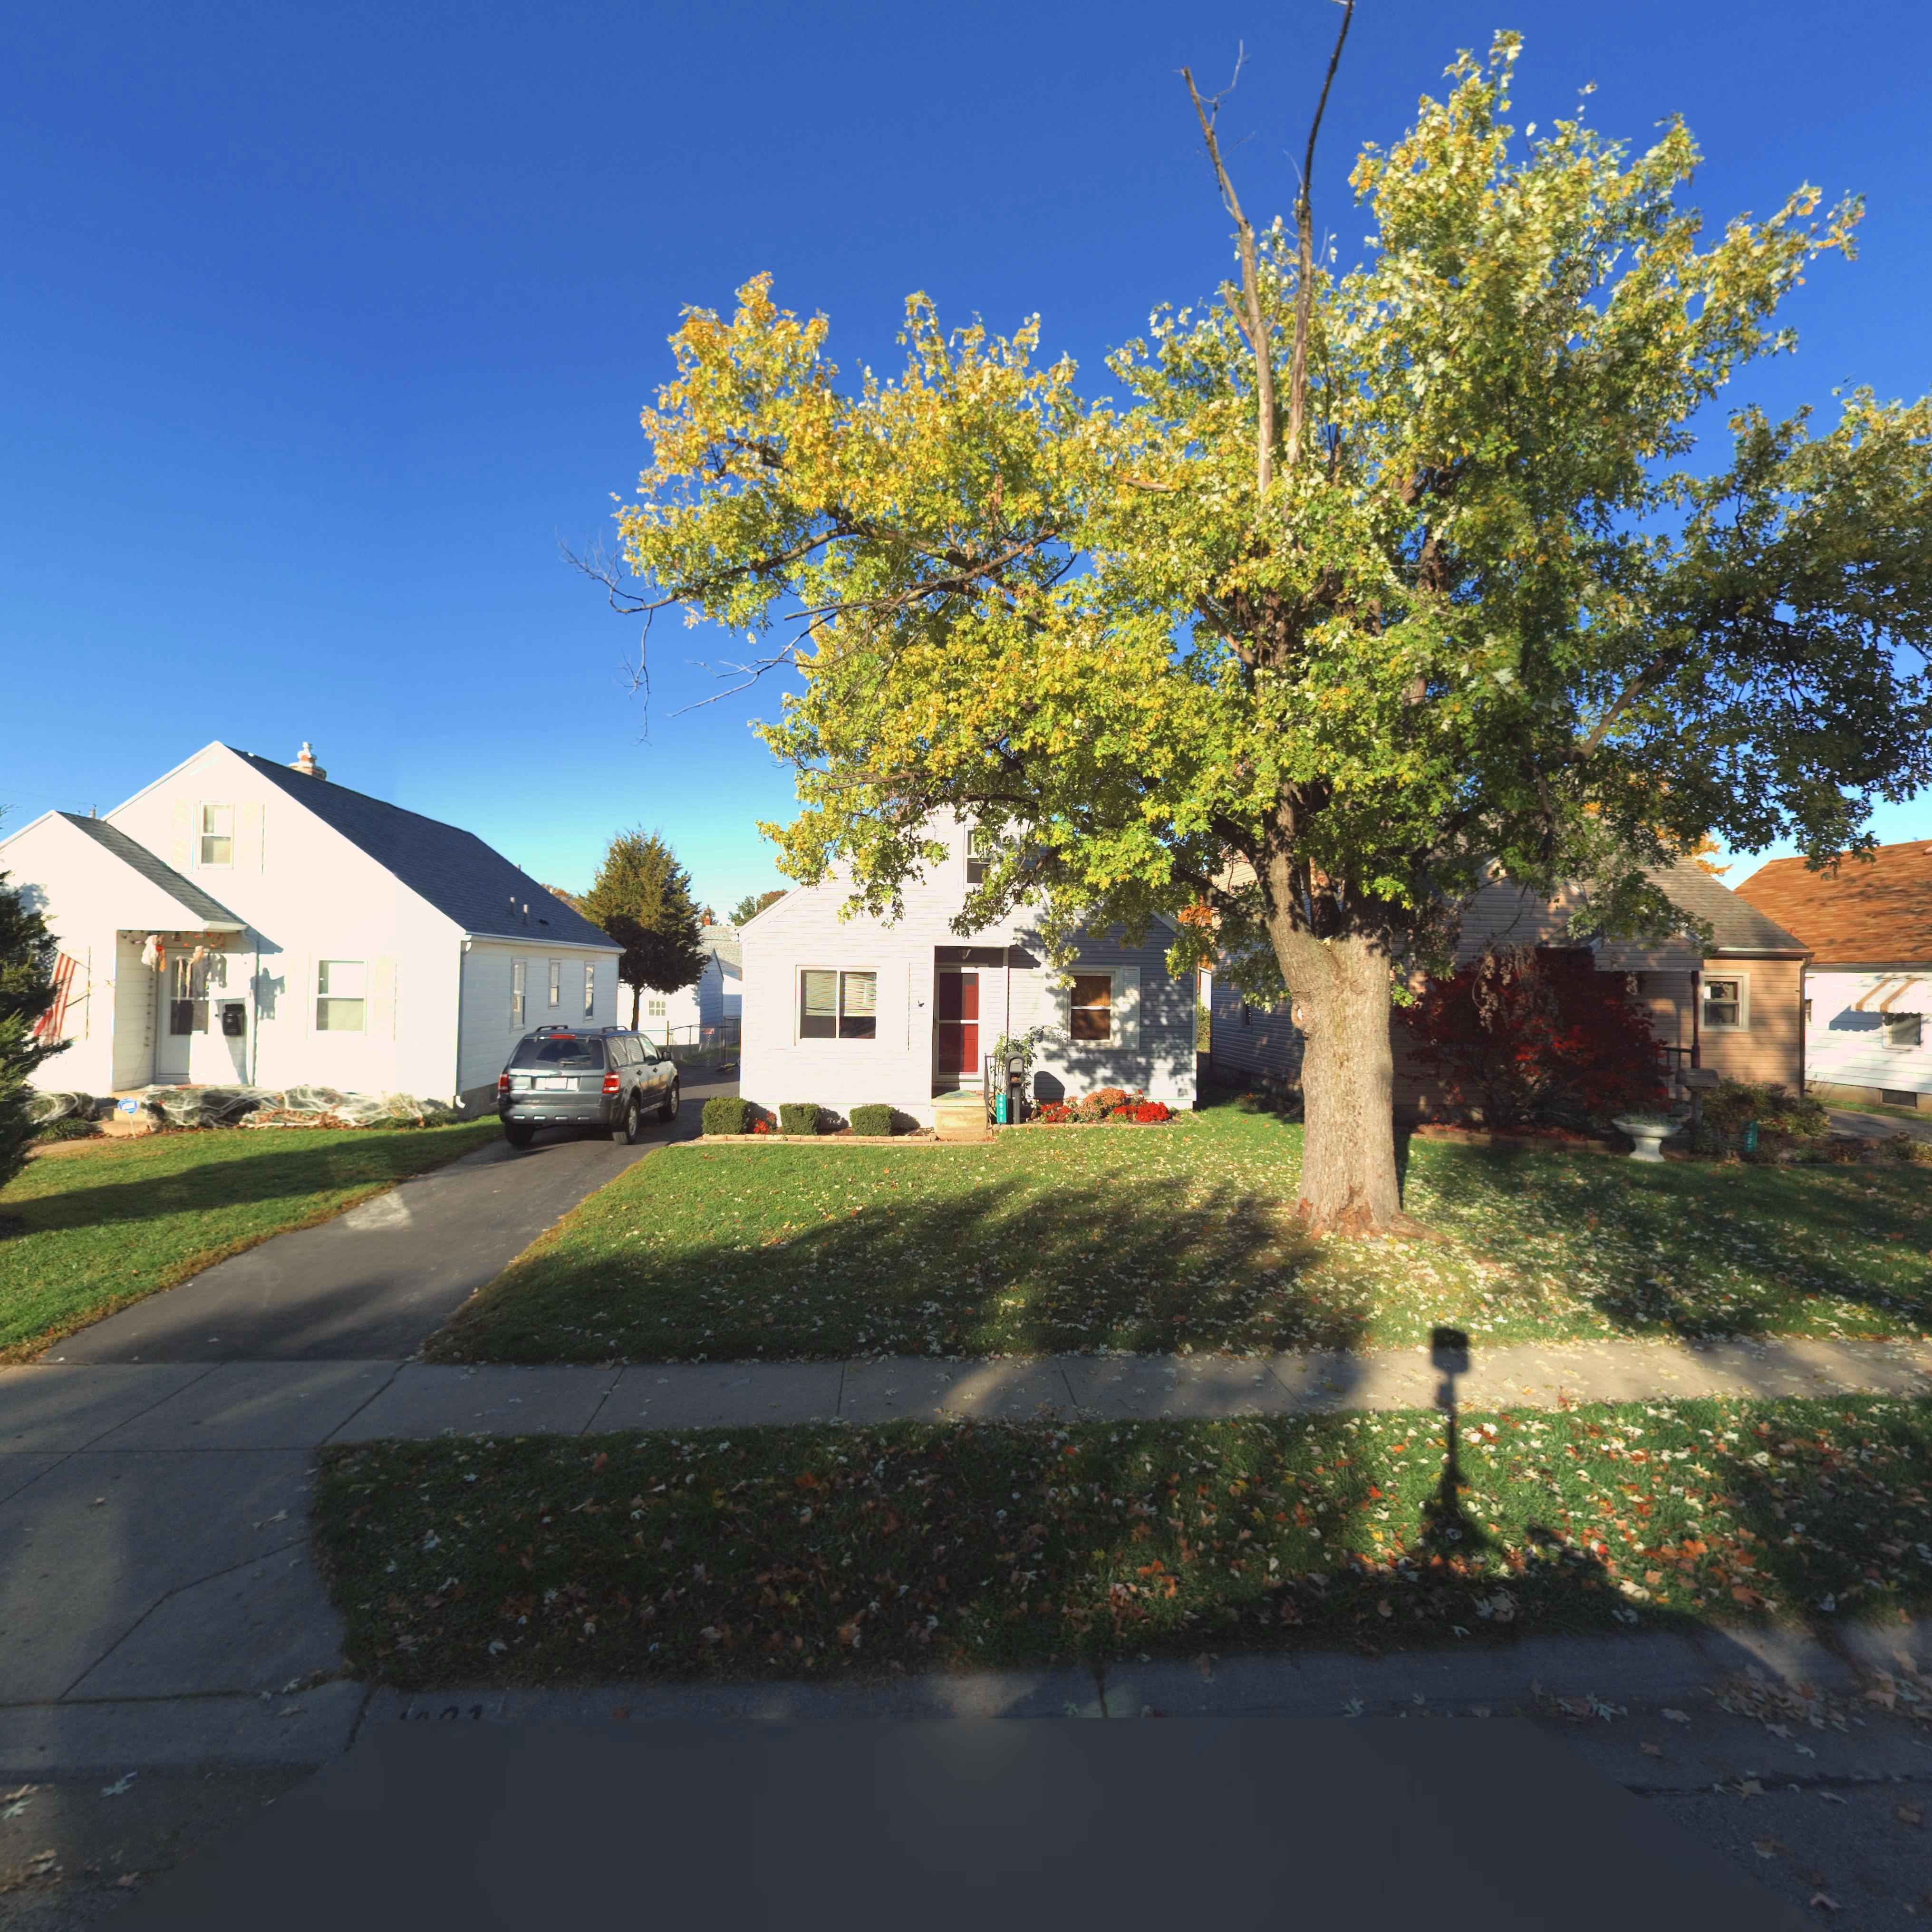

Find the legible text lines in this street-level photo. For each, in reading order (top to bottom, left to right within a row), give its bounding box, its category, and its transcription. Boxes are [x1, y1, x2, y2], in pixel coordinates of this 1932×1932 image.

[999, 1095, 1003, 1122] StreetNumber: 4931
[1746, 1122, 1754, 1152] StreetNumber: **27